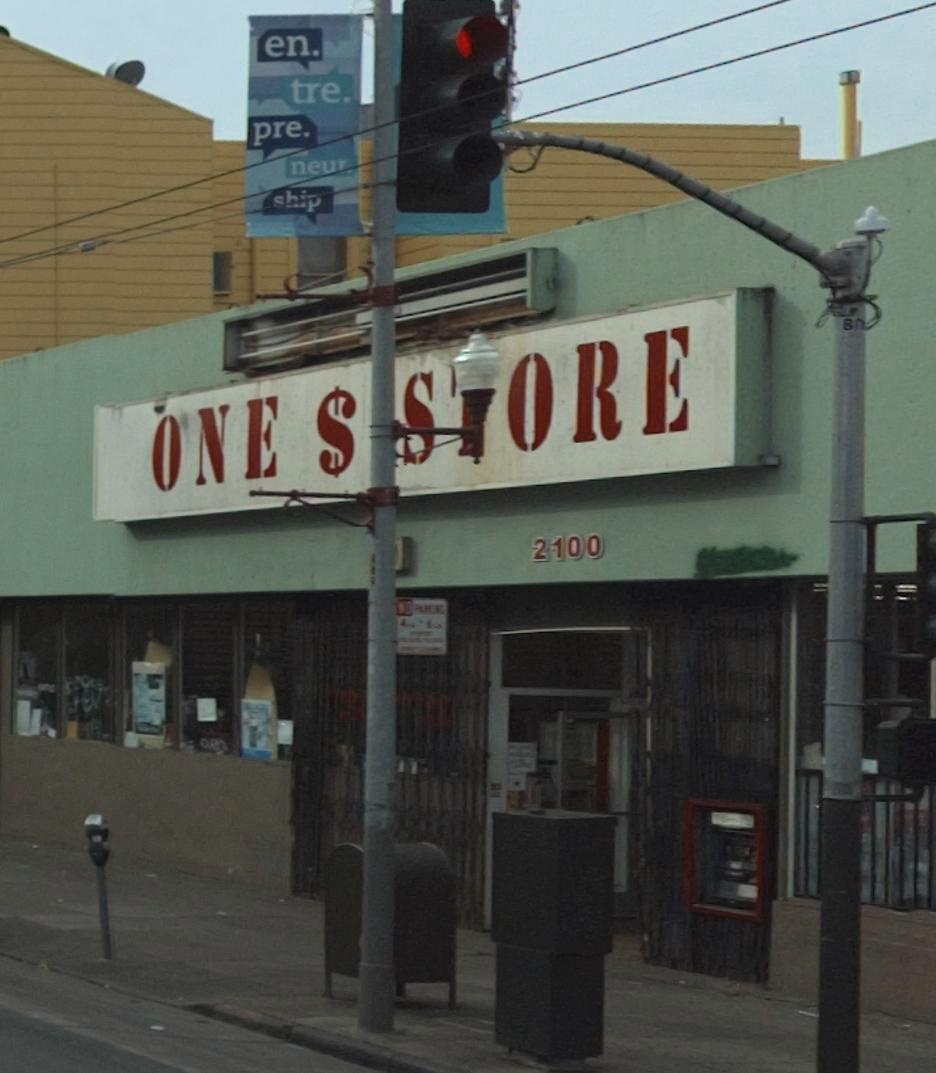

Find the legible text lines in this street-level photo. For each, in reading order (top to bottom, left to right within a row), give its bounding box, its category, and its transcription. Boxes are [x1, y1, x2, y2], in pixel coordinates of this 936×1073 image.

[263, 33, 311, 59] None: en
[289, 76, 342, 106] None: tre
[251, 120, 303, 147] None: pre
[290, 157, 351, 176] None: neu*
[151, 322, 694, 495] None: ONE $ **ORE
[530, 532, 602, 561] StreetNumber: 2100
[397, 599, 412, 615] None: NO